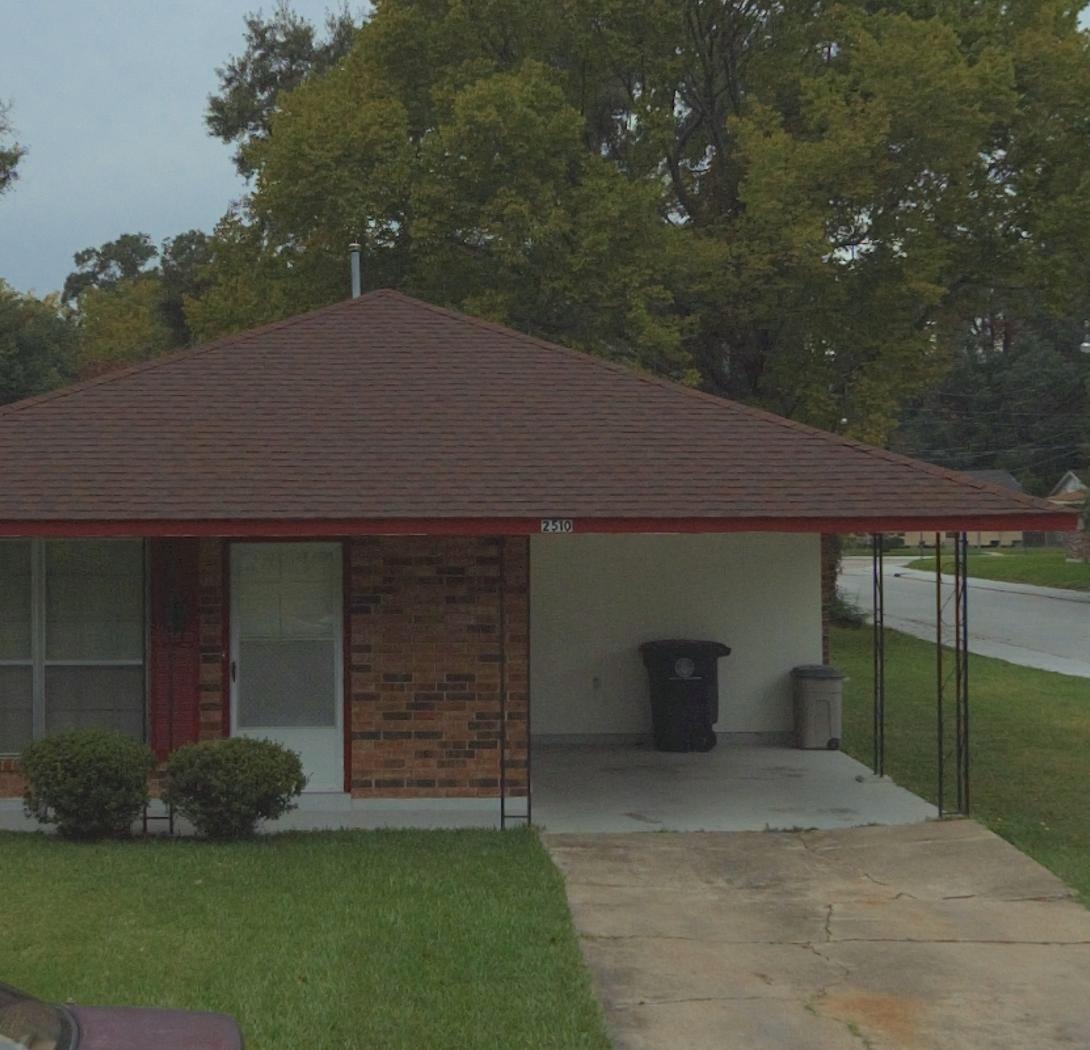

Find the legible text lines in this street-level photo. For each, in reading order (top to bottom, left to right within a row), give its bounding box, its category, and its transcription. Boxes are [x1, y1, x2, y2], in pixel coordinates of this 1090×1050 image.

[541, 520, 572, 532] StreetNumber: 2510